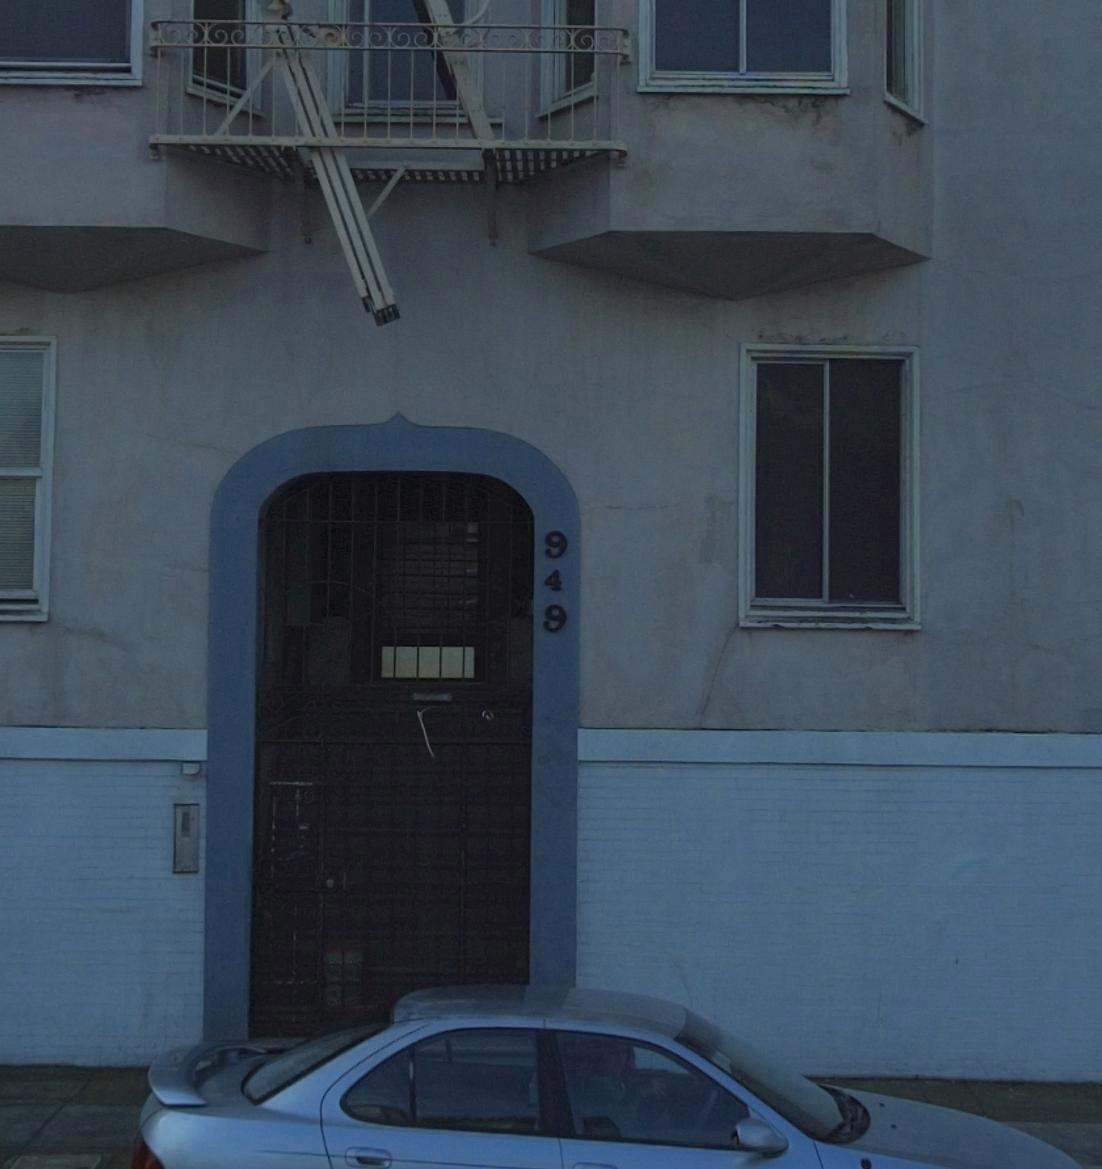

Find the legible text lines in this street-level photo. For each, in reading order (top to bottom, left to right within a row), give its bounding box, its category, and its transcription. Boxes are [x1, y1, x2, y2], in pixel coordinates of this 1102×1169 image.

[540, 529, 571, 635] StreetNumber: 949